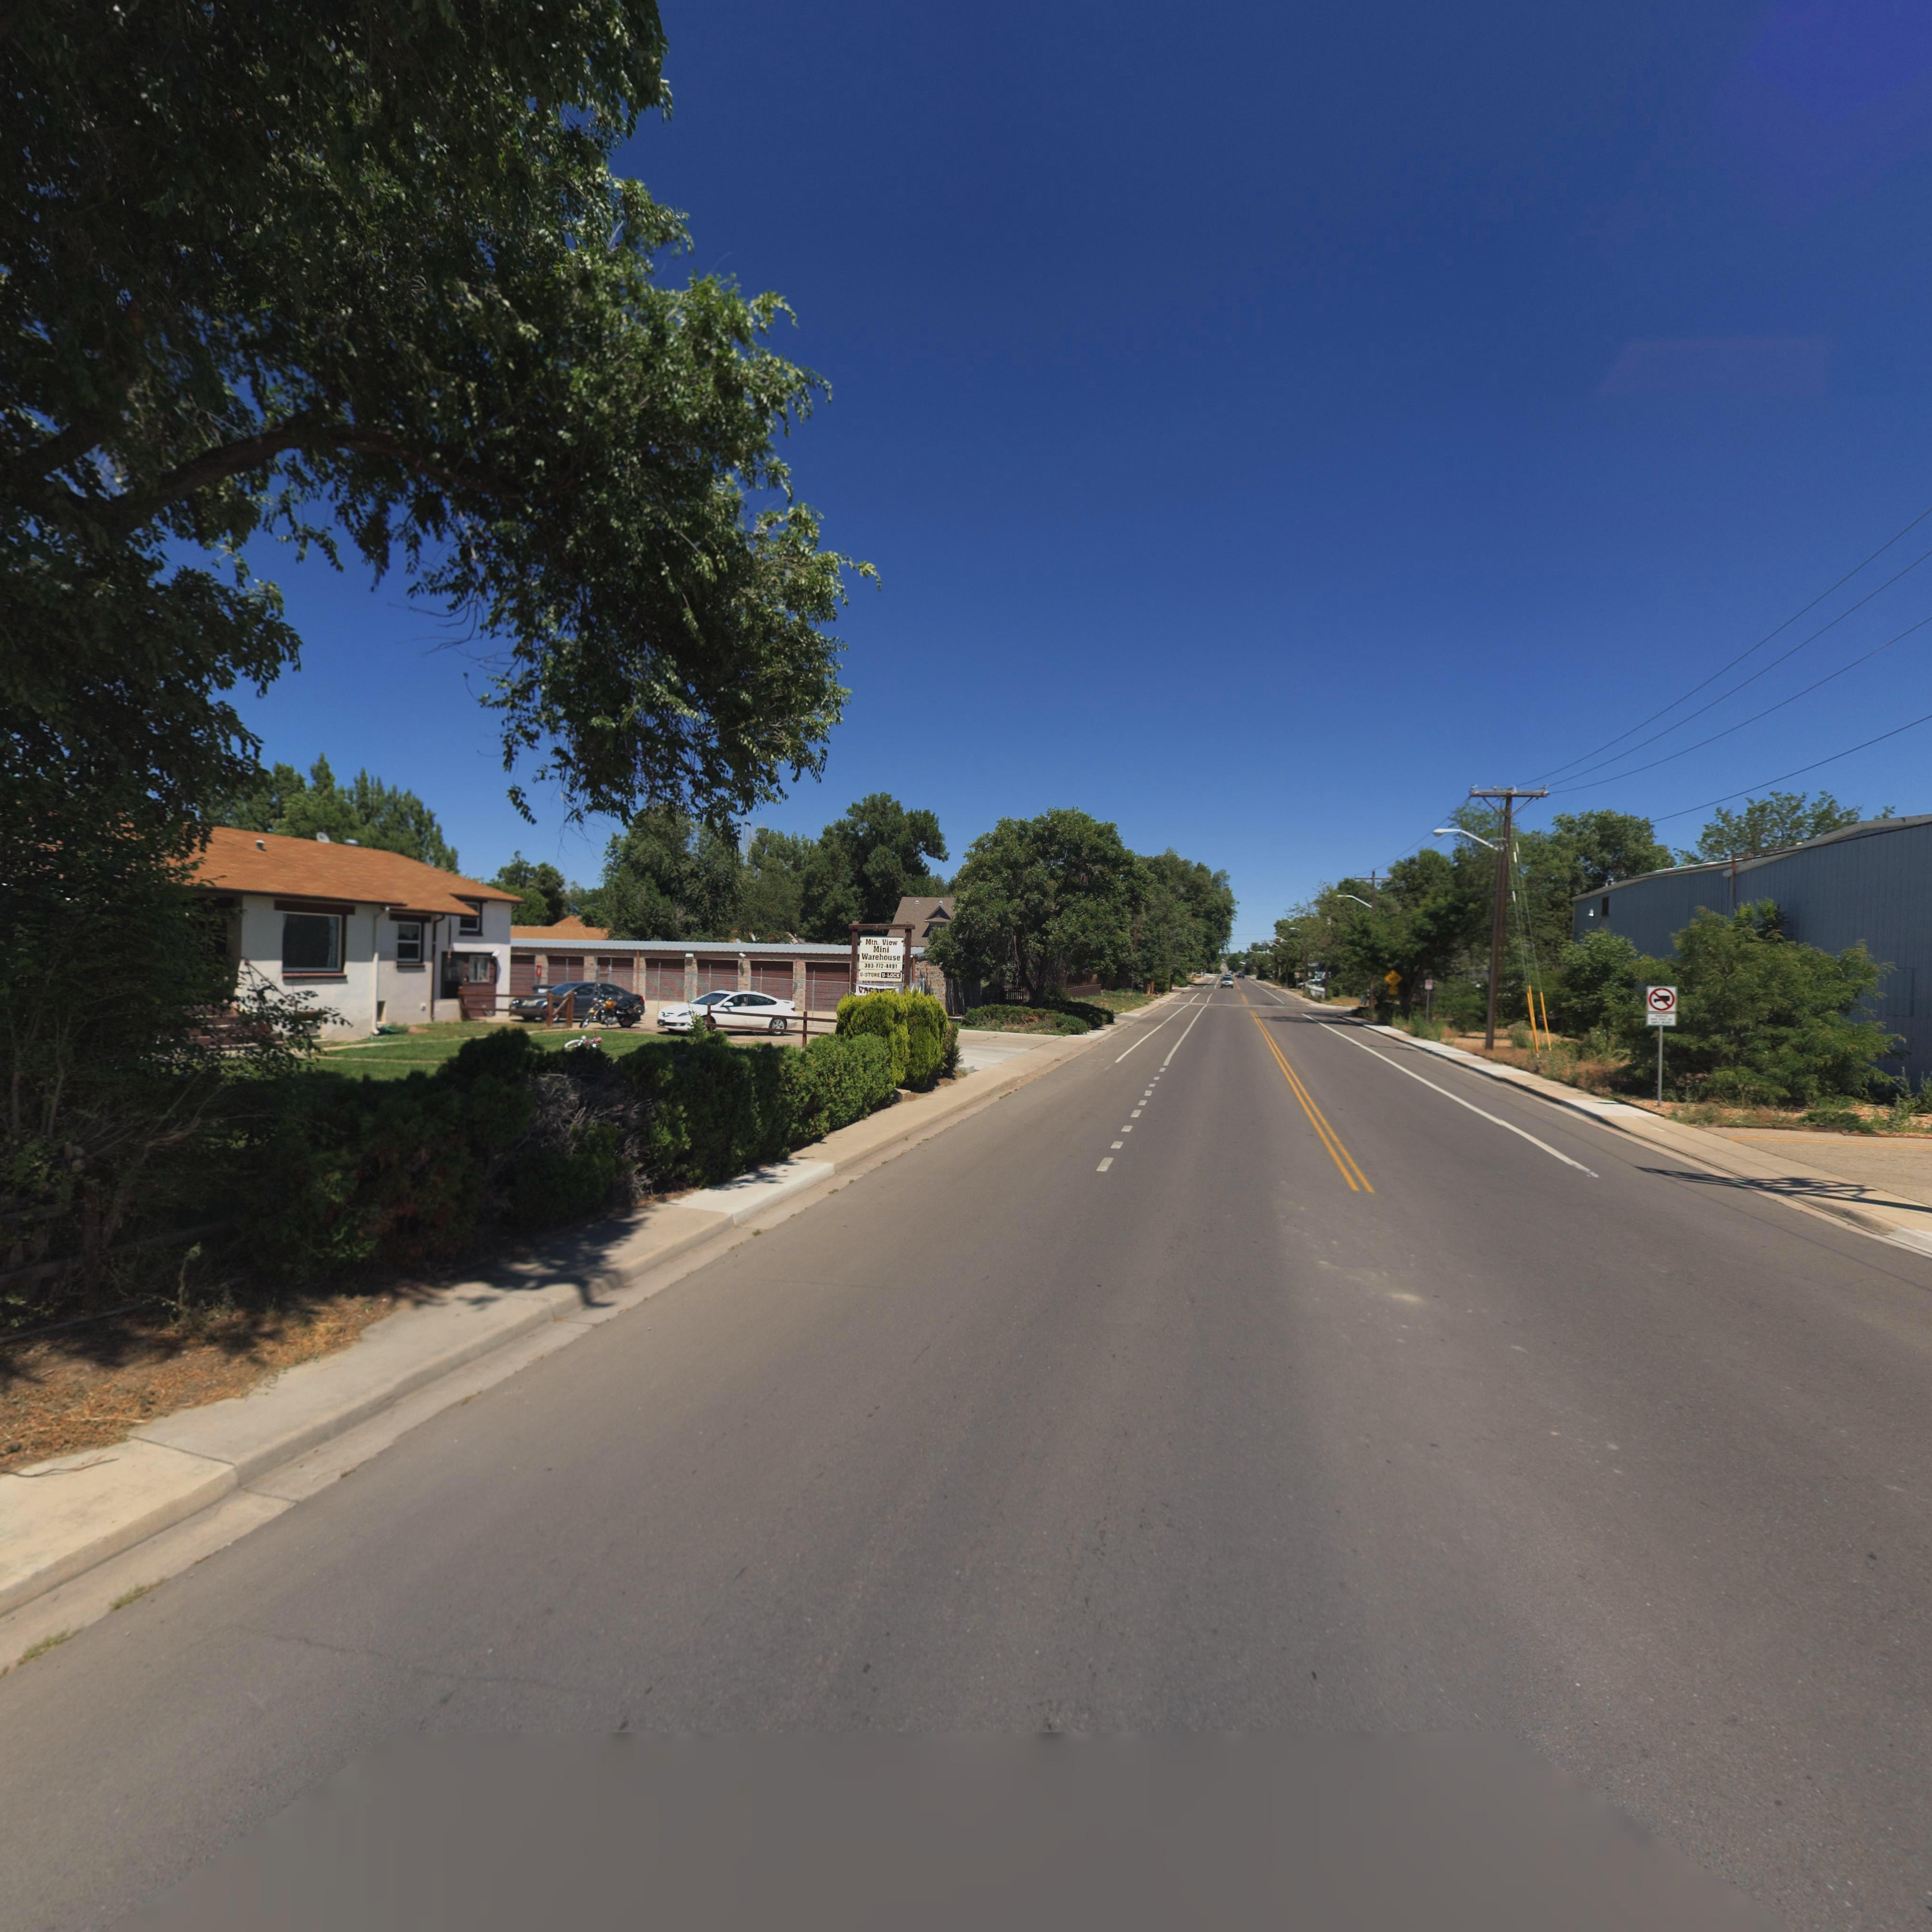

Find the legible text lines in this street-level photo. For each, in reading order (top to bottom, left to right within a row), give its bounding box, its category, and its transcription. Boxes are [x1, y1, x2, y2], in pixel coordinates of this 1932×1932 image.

[865, 938, 898, 946] BusinessName: Mtn. View
[873, 945, 889, 953] BusinessName: Mini
[861, 952, 900, 961] BusinessName: Warehouse